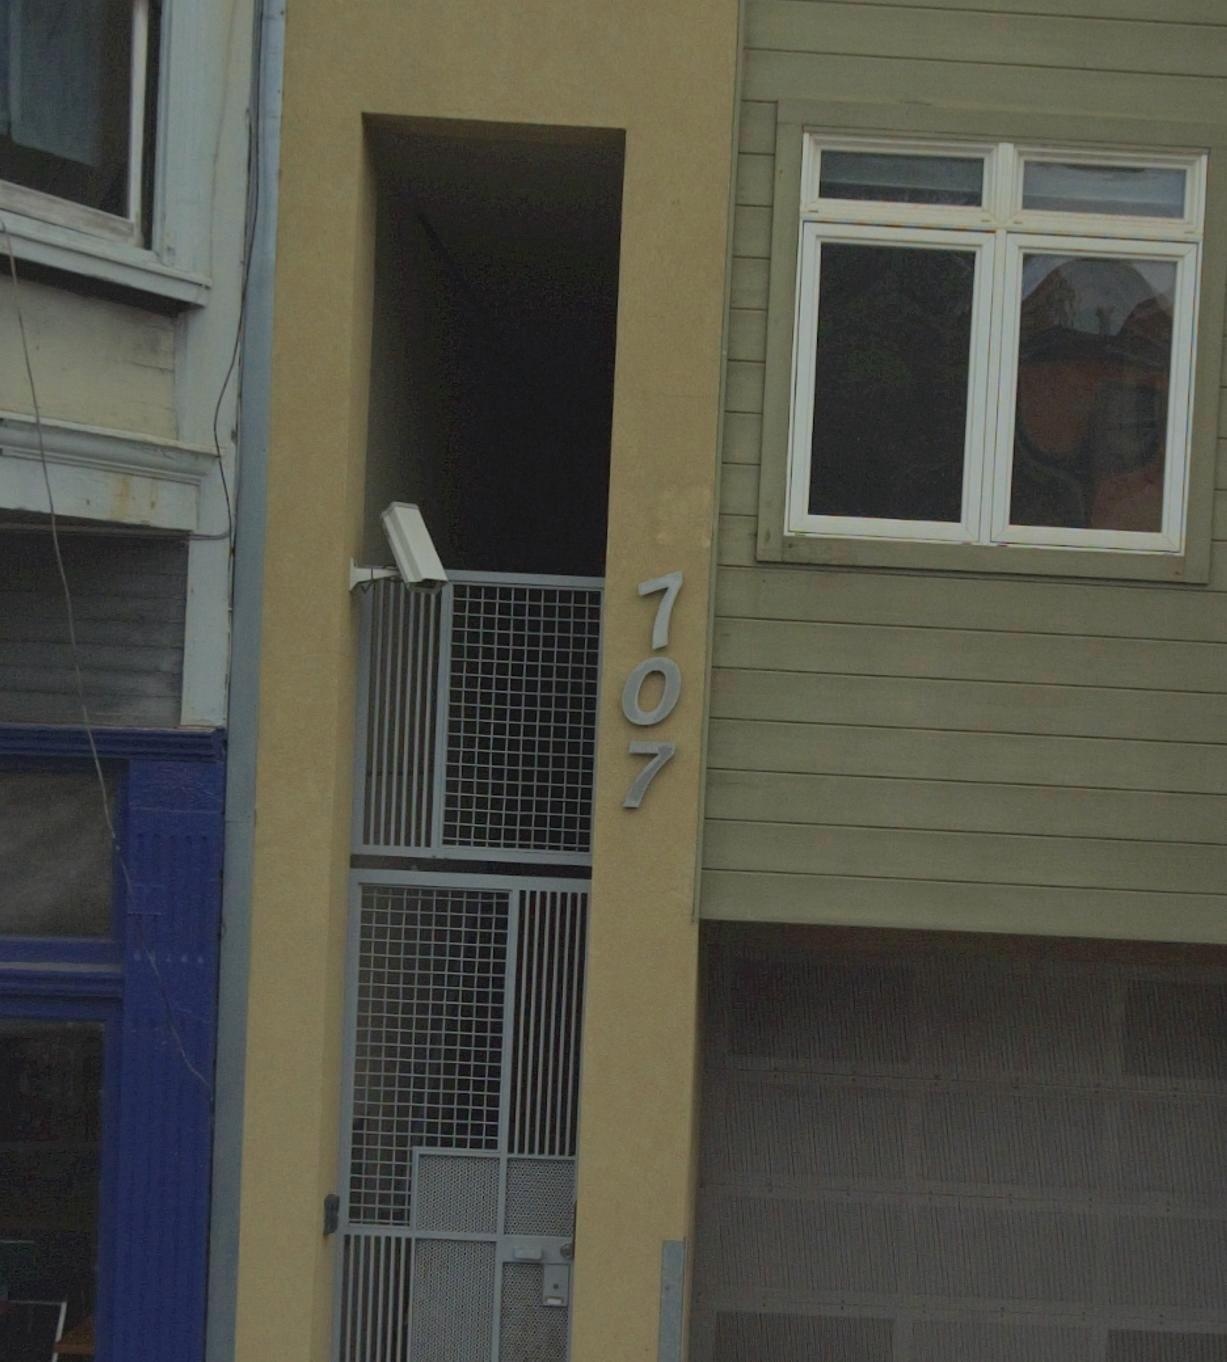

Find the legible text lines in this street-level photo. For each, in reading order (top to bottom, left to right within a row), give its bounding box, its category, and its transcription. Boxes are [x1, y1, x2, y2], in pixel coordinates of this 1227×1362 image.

[617, 565, 687, 812] StreetNumber: 707